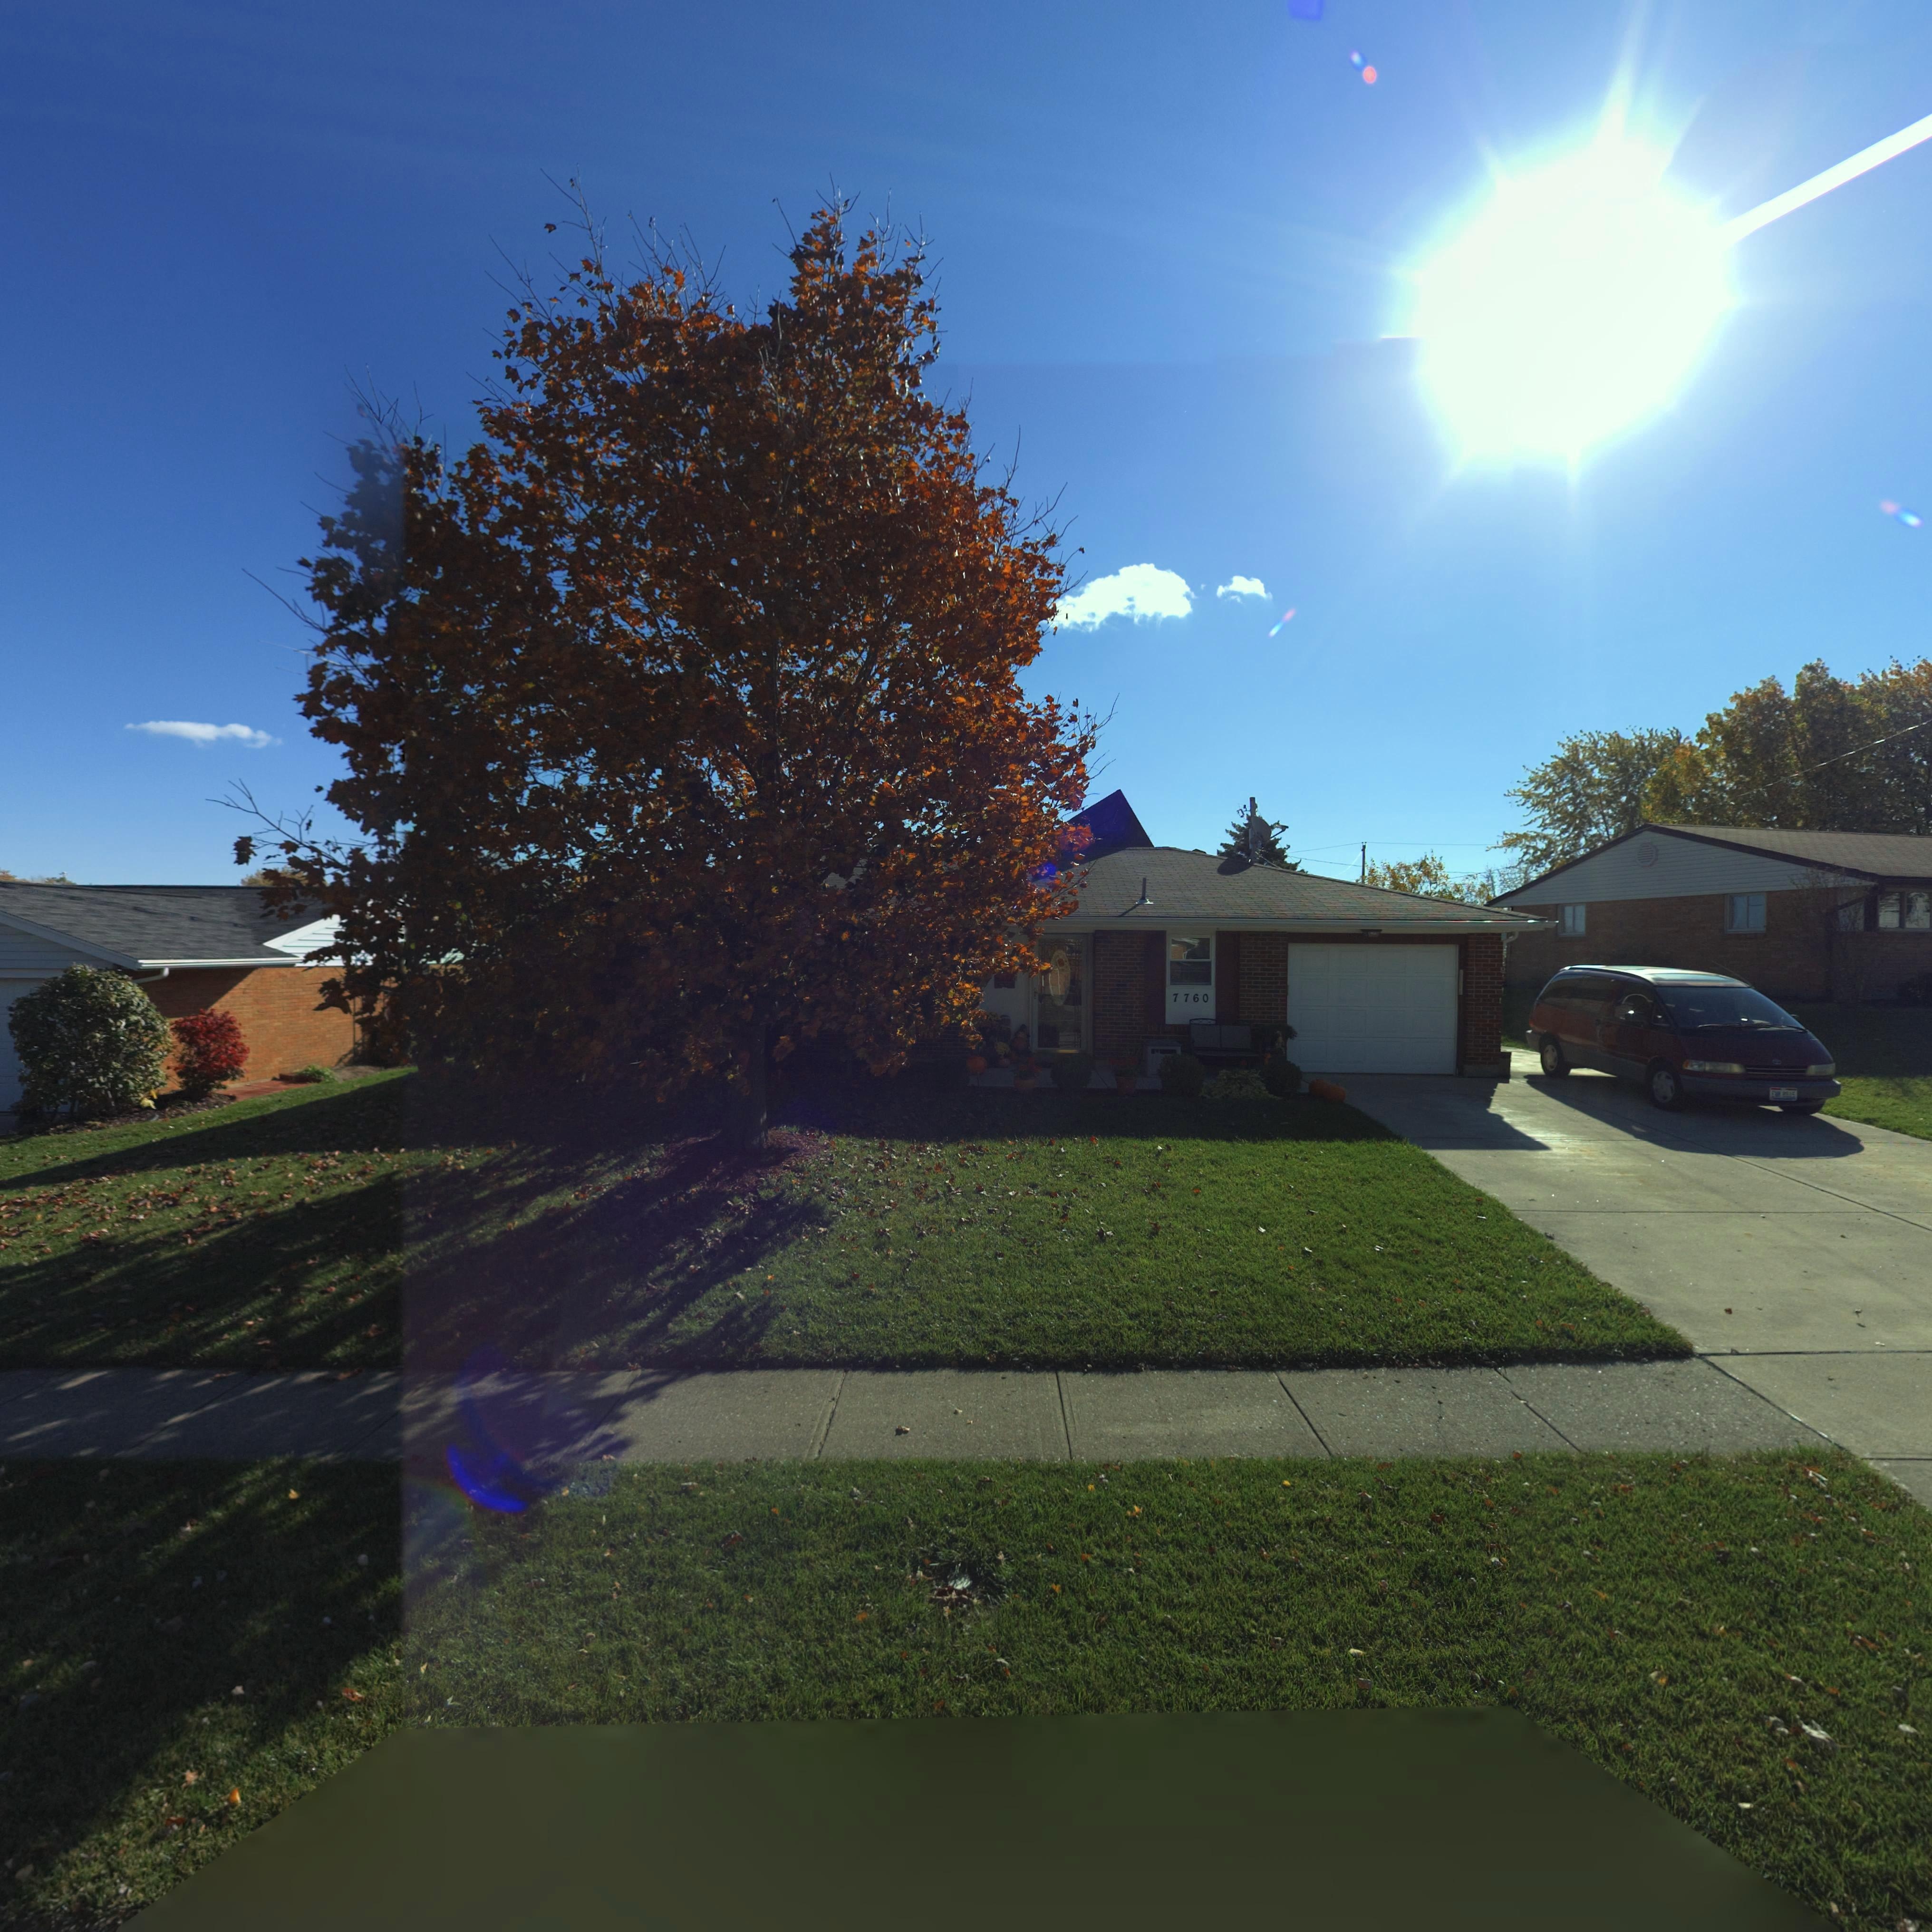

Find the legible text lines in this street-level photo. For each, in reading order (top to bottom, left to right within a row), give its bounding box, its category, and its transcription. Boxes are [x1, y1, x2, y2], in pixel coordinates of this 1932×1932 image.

[1172, 992, 1210, 1004] StreetNumber: 7760